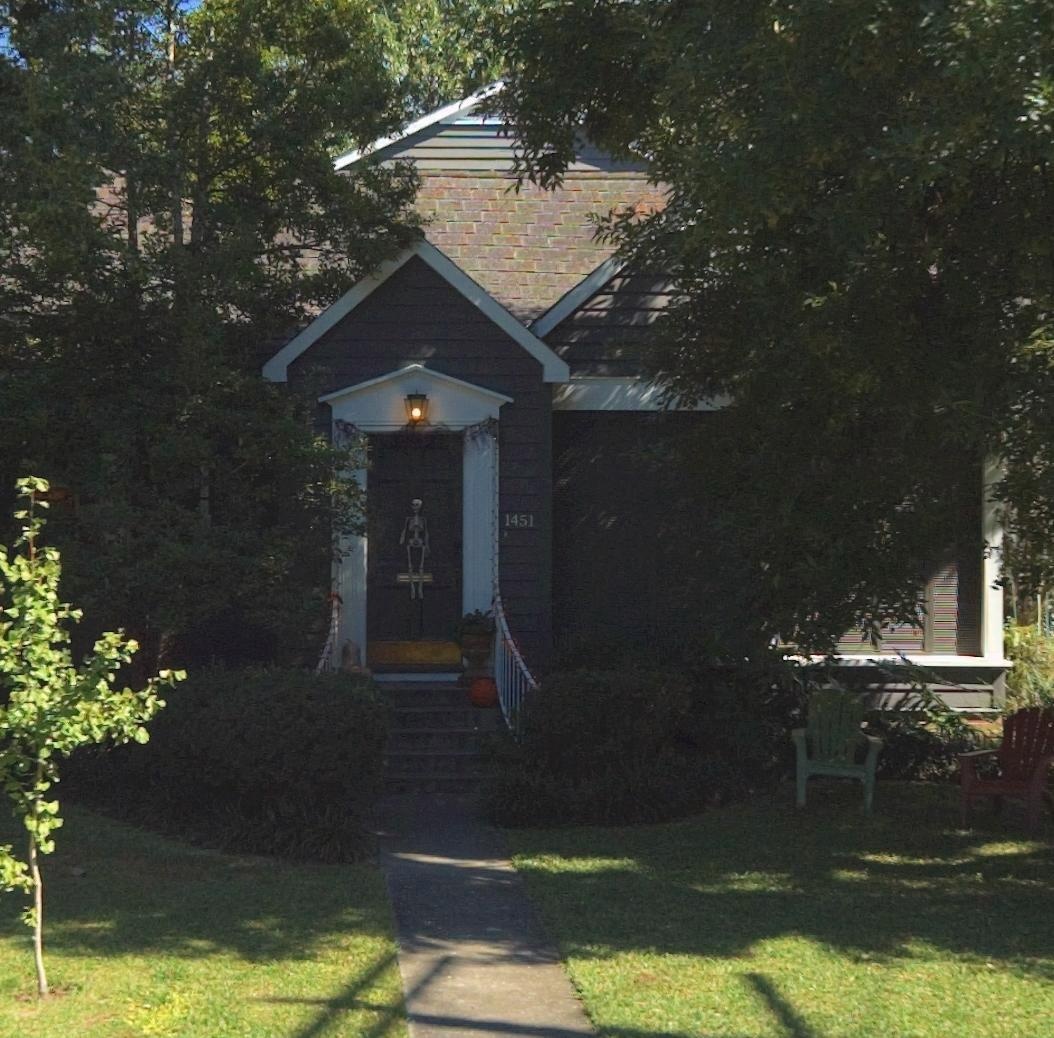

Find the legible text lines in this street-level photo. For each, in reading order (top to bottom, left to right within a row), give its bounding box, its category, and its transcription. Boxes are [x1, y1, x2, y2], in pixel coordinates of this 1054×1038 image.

[503, 512, 536, 529] StreetNumber: 1451